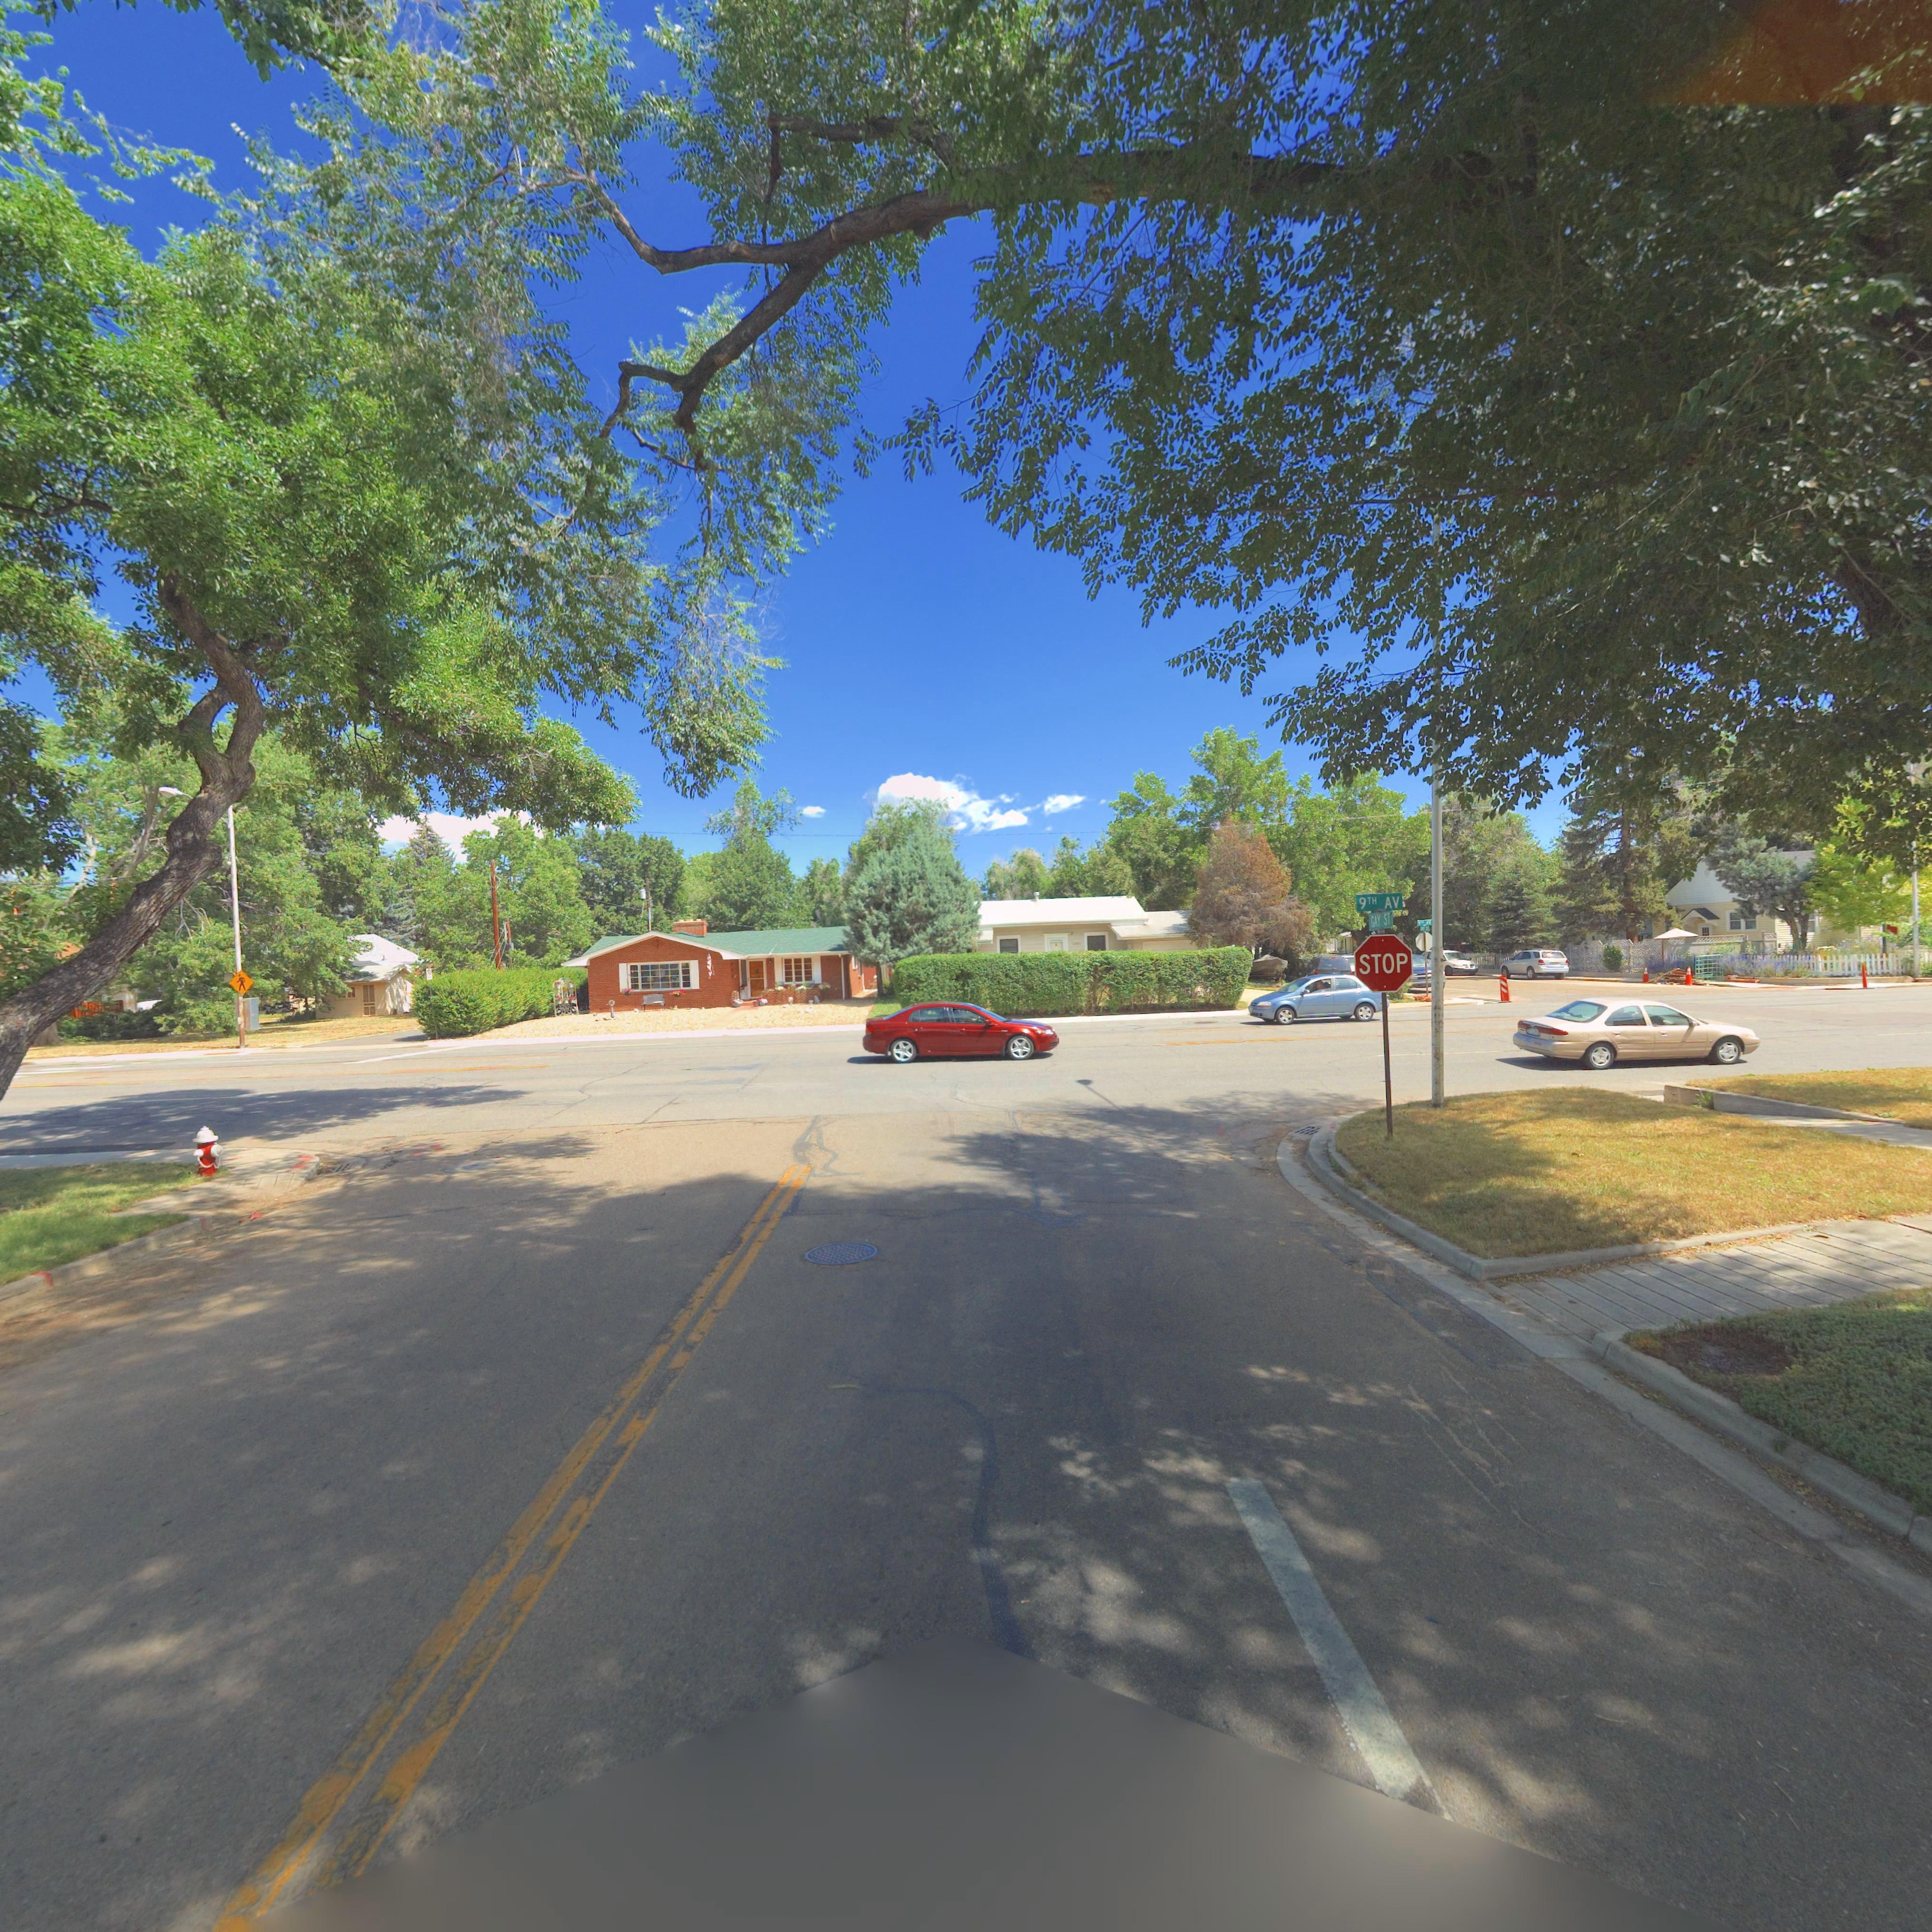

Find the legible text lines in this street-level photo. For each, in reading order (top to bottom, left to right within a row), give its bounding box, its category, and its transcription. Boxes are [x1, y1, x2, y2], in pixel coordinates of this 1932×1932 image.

[1357, 895, 1401, 909] StreetName: 9TH AV
[1370, 911, 1391, 928] StreetName: GAY ST
[1417, 920, 1431, 925] StreetName: *TH AV
[1420, 926, 1430, 931] StreetName: G** **